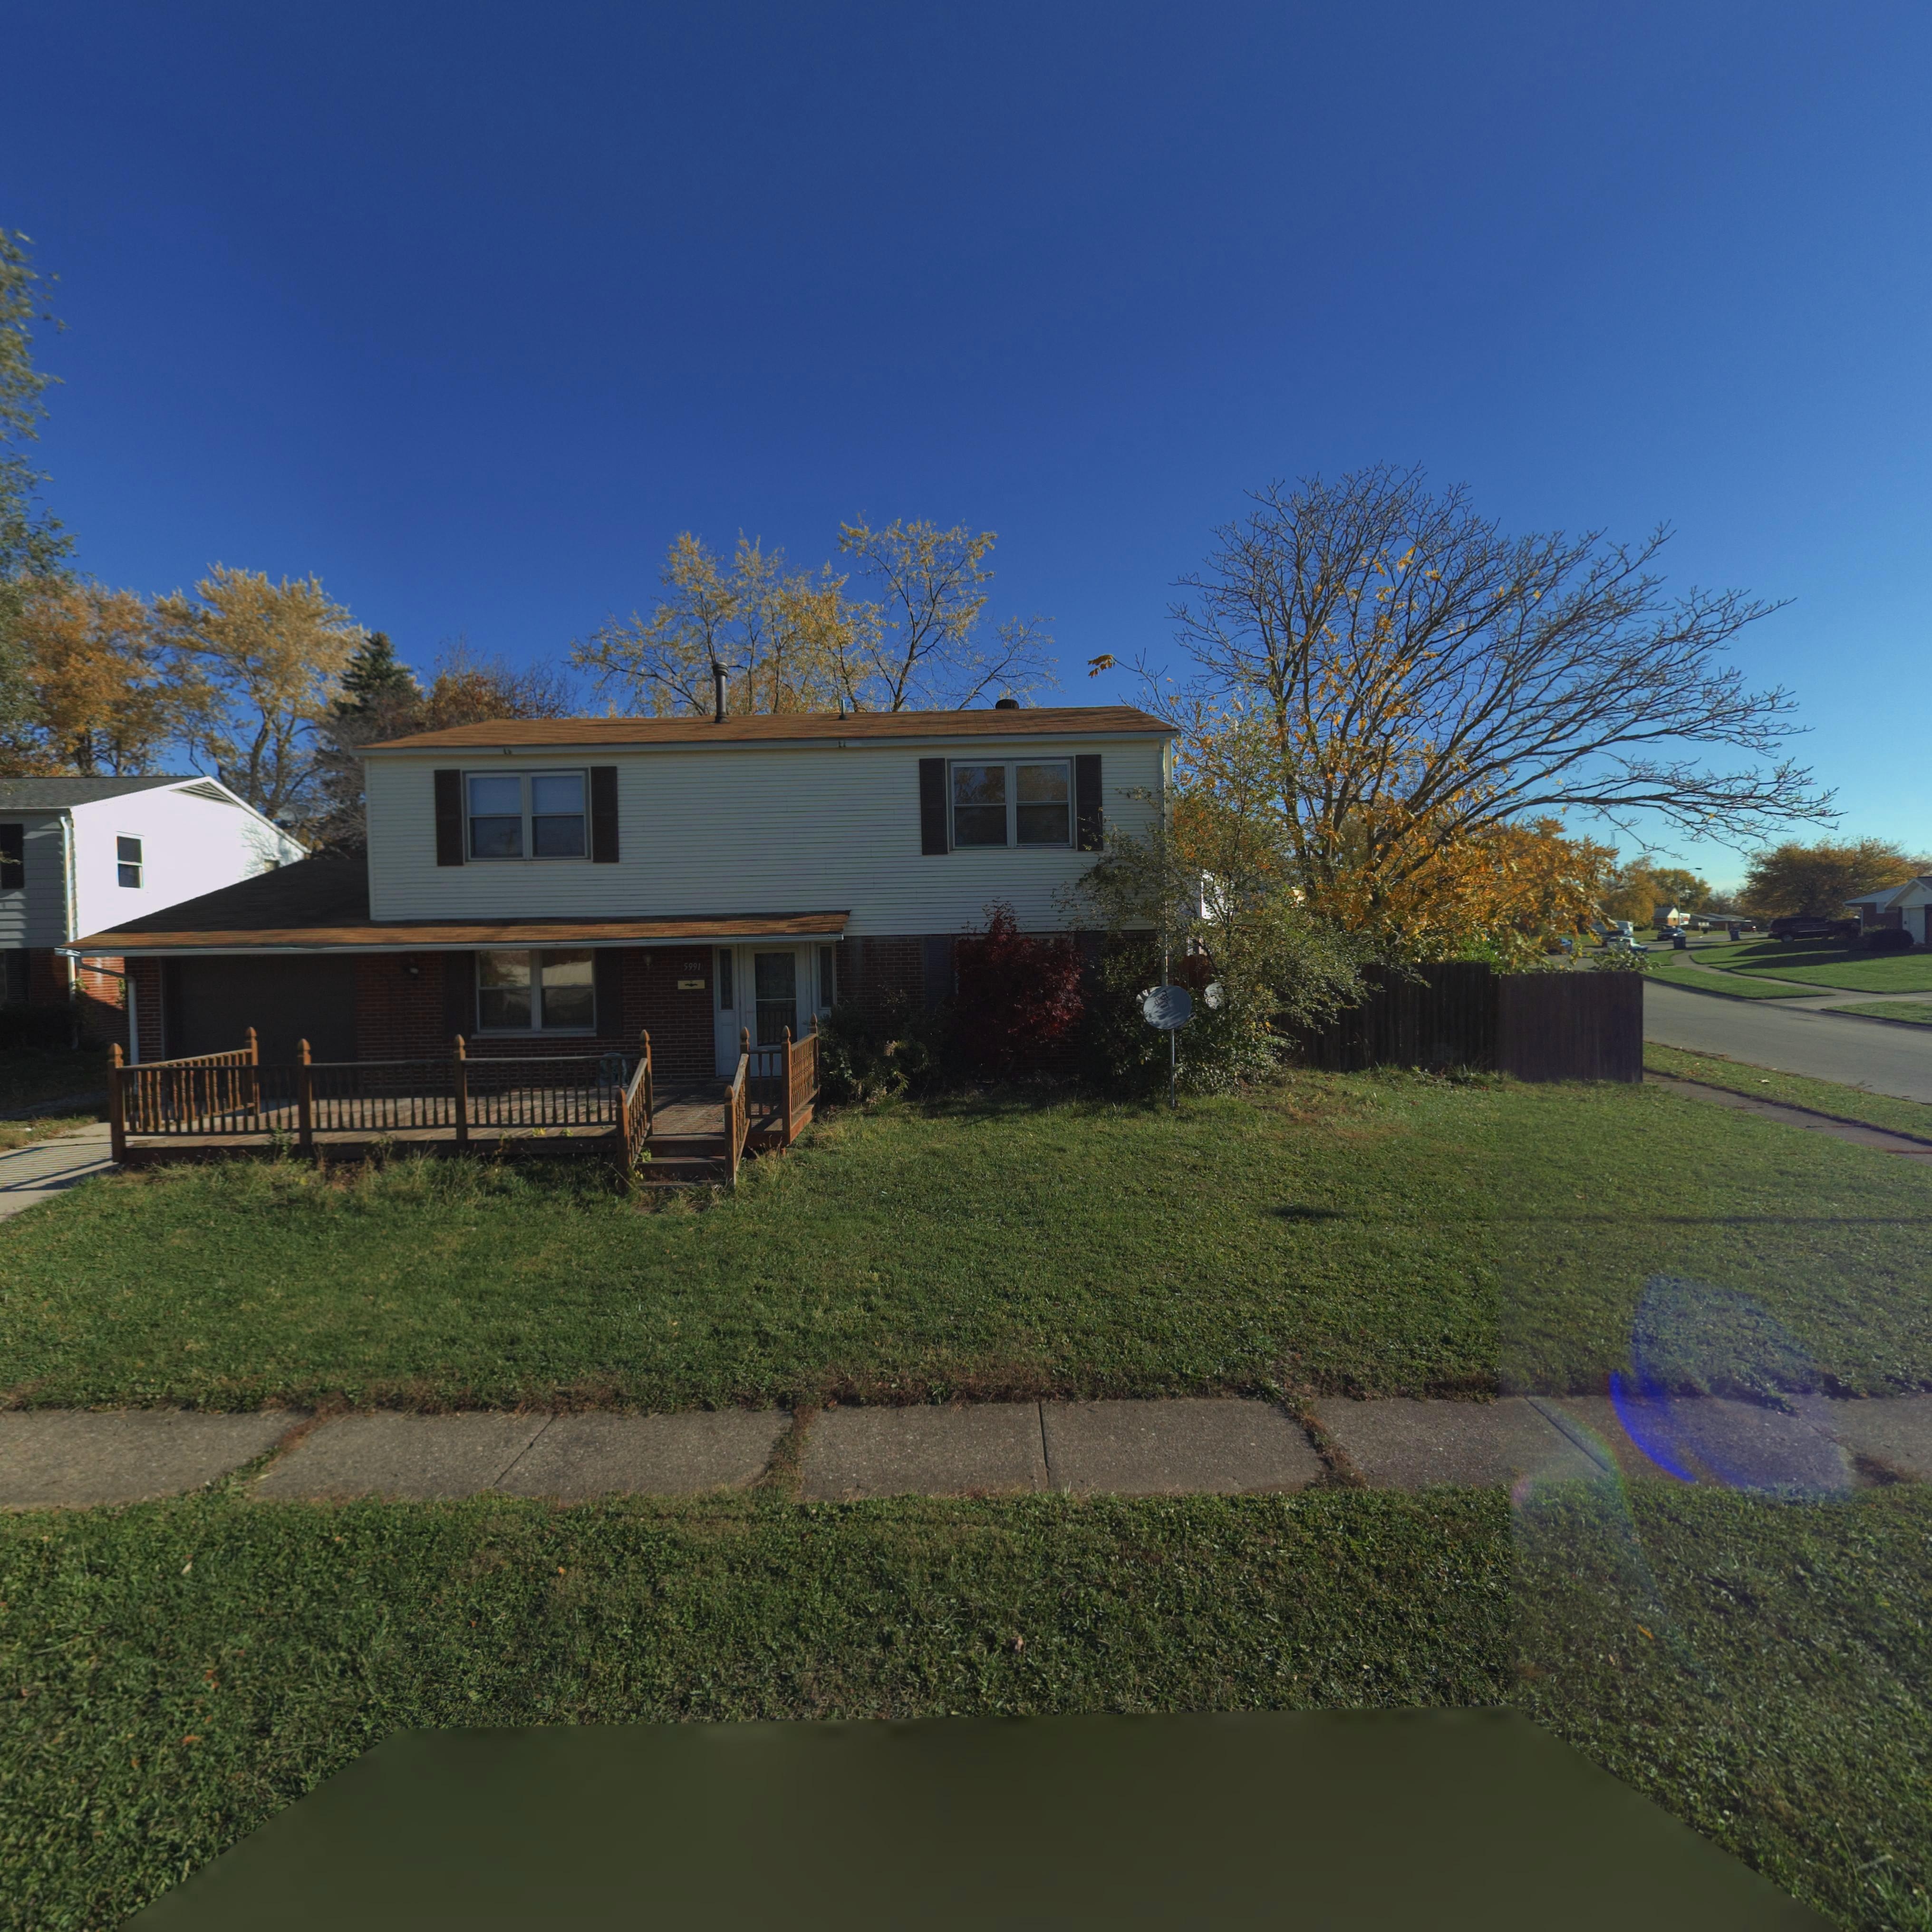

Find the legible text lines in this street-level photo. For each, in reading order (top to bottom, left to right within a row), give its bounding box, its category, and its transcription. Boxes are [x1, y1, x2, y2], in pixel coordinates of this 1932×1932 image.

[682, 962, 702, 972] StreetNumber: 5991